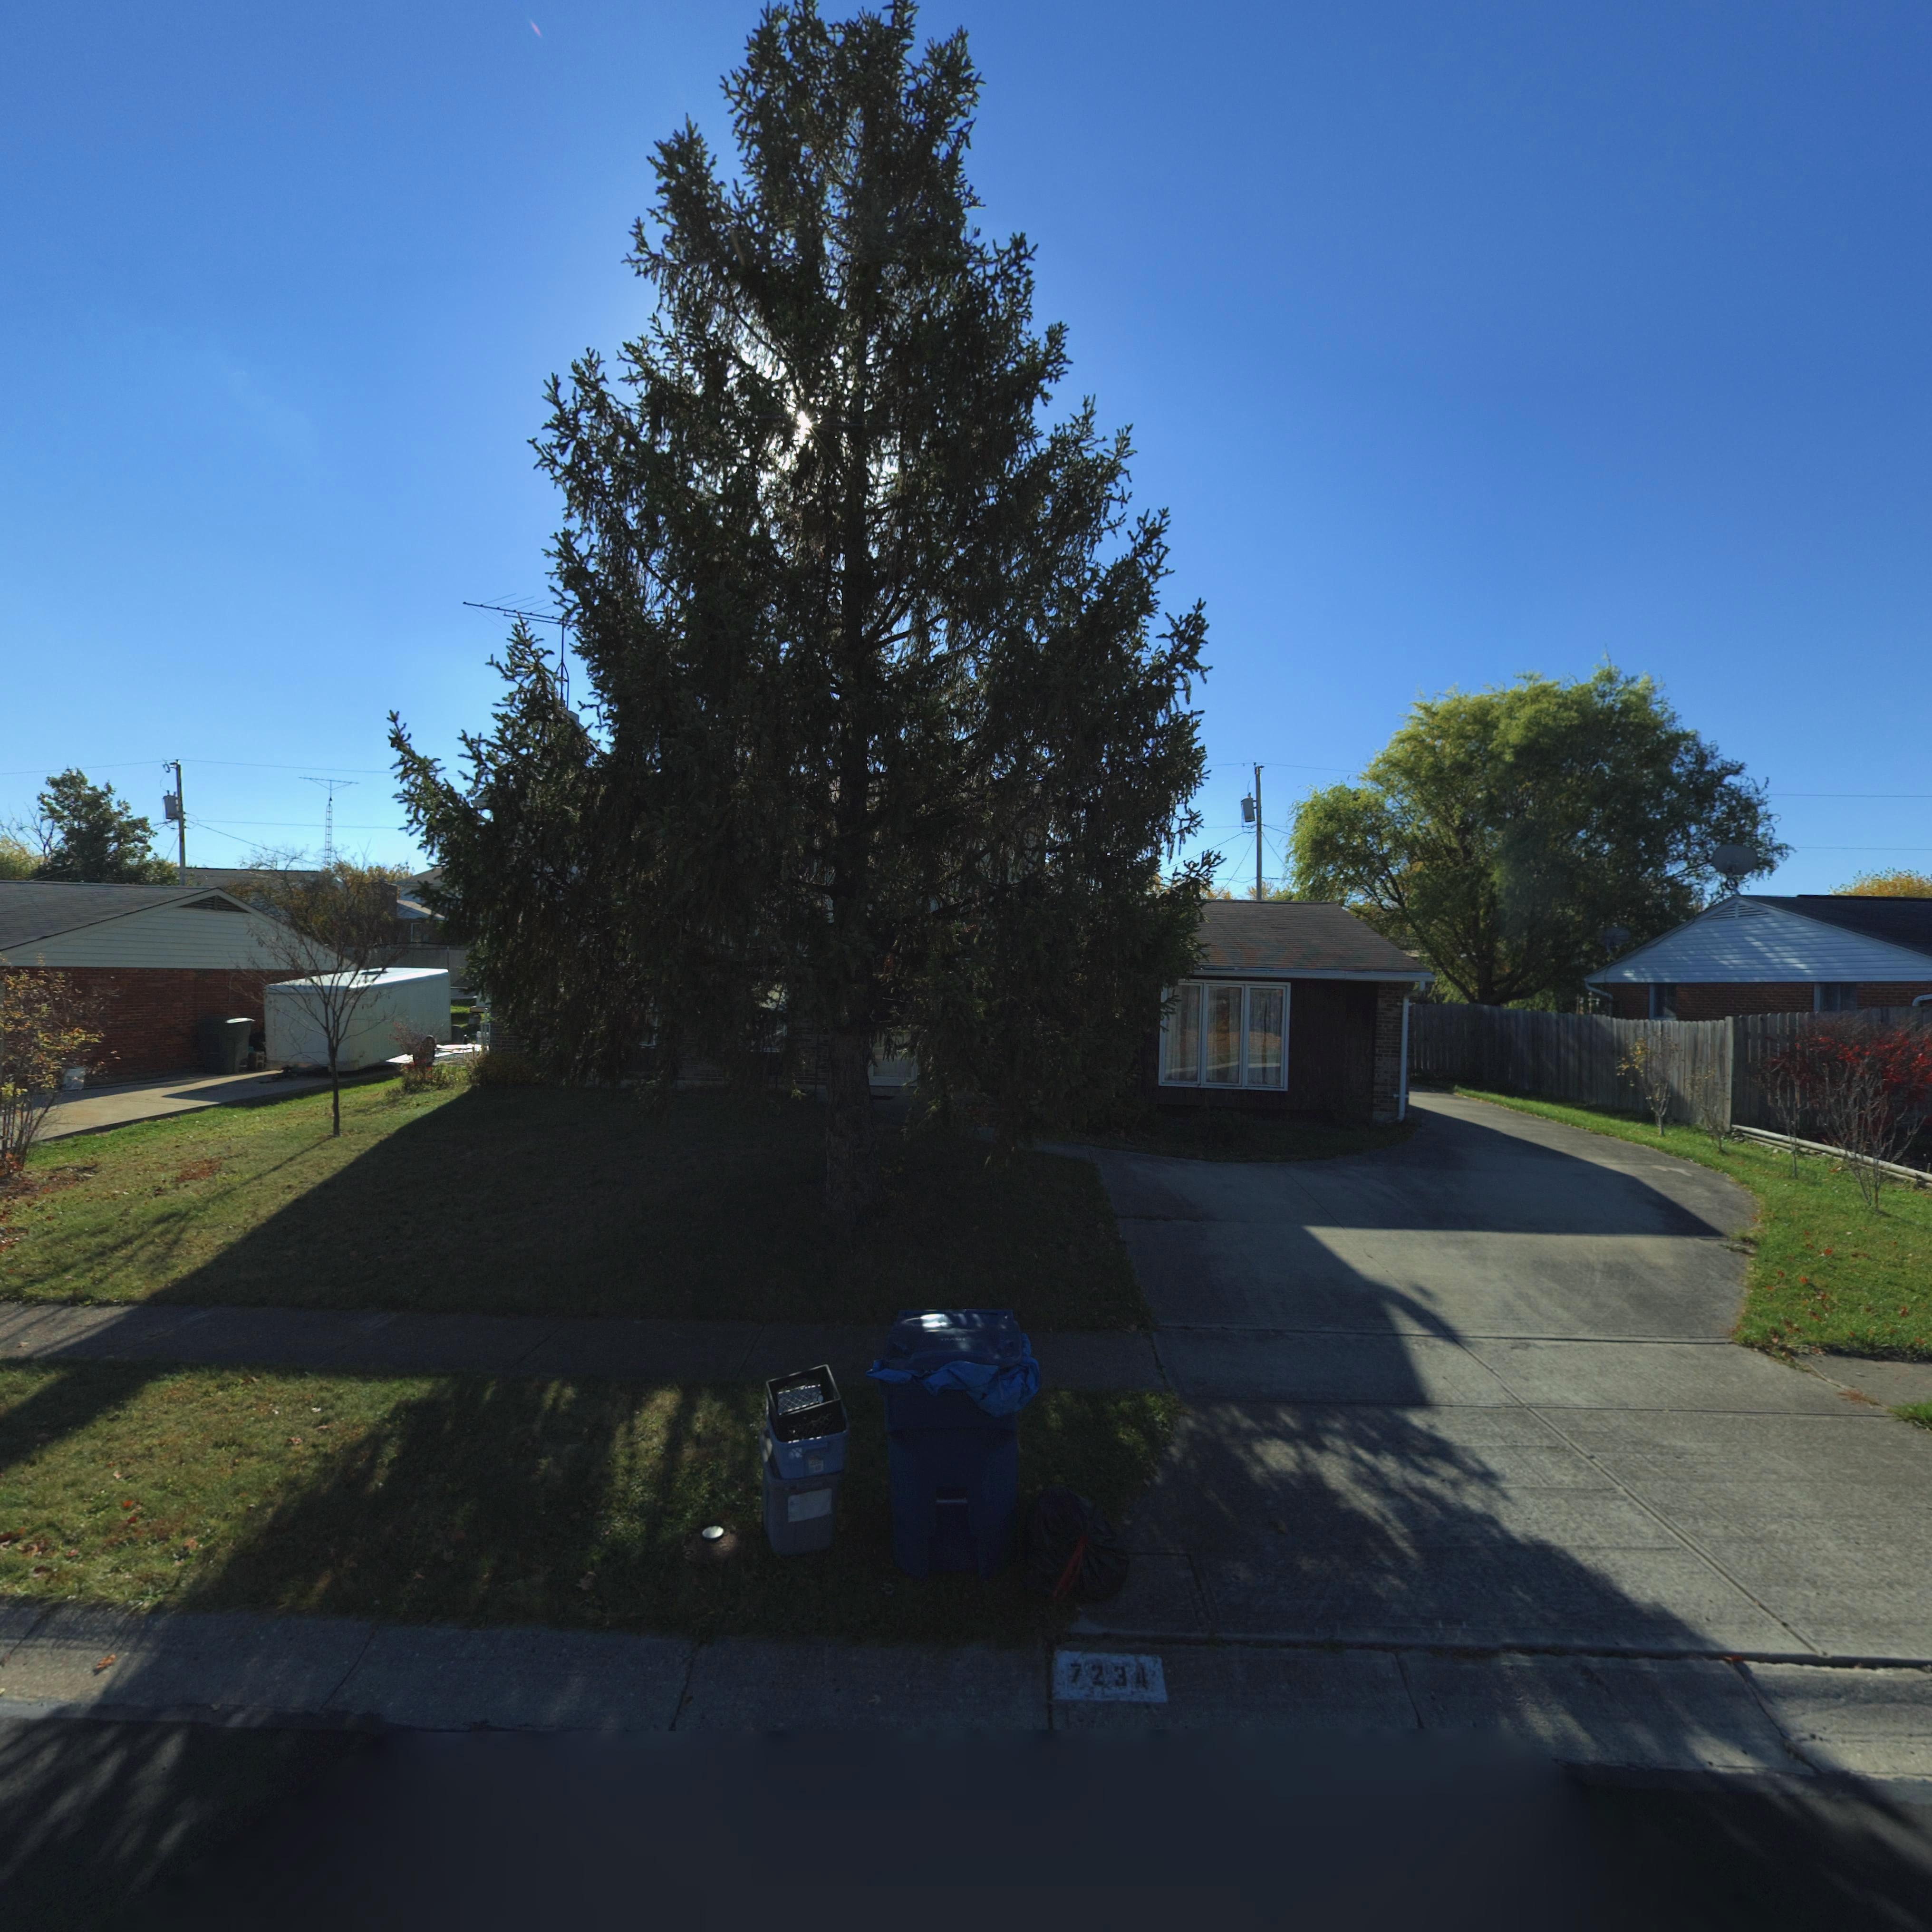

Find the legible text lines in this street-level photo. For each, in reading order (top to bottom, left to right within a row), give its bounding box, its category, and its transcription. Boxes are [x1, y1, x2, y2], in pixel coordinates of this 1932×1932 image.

[1068, 1662, 1150, 1690] StreetNumber: 7234